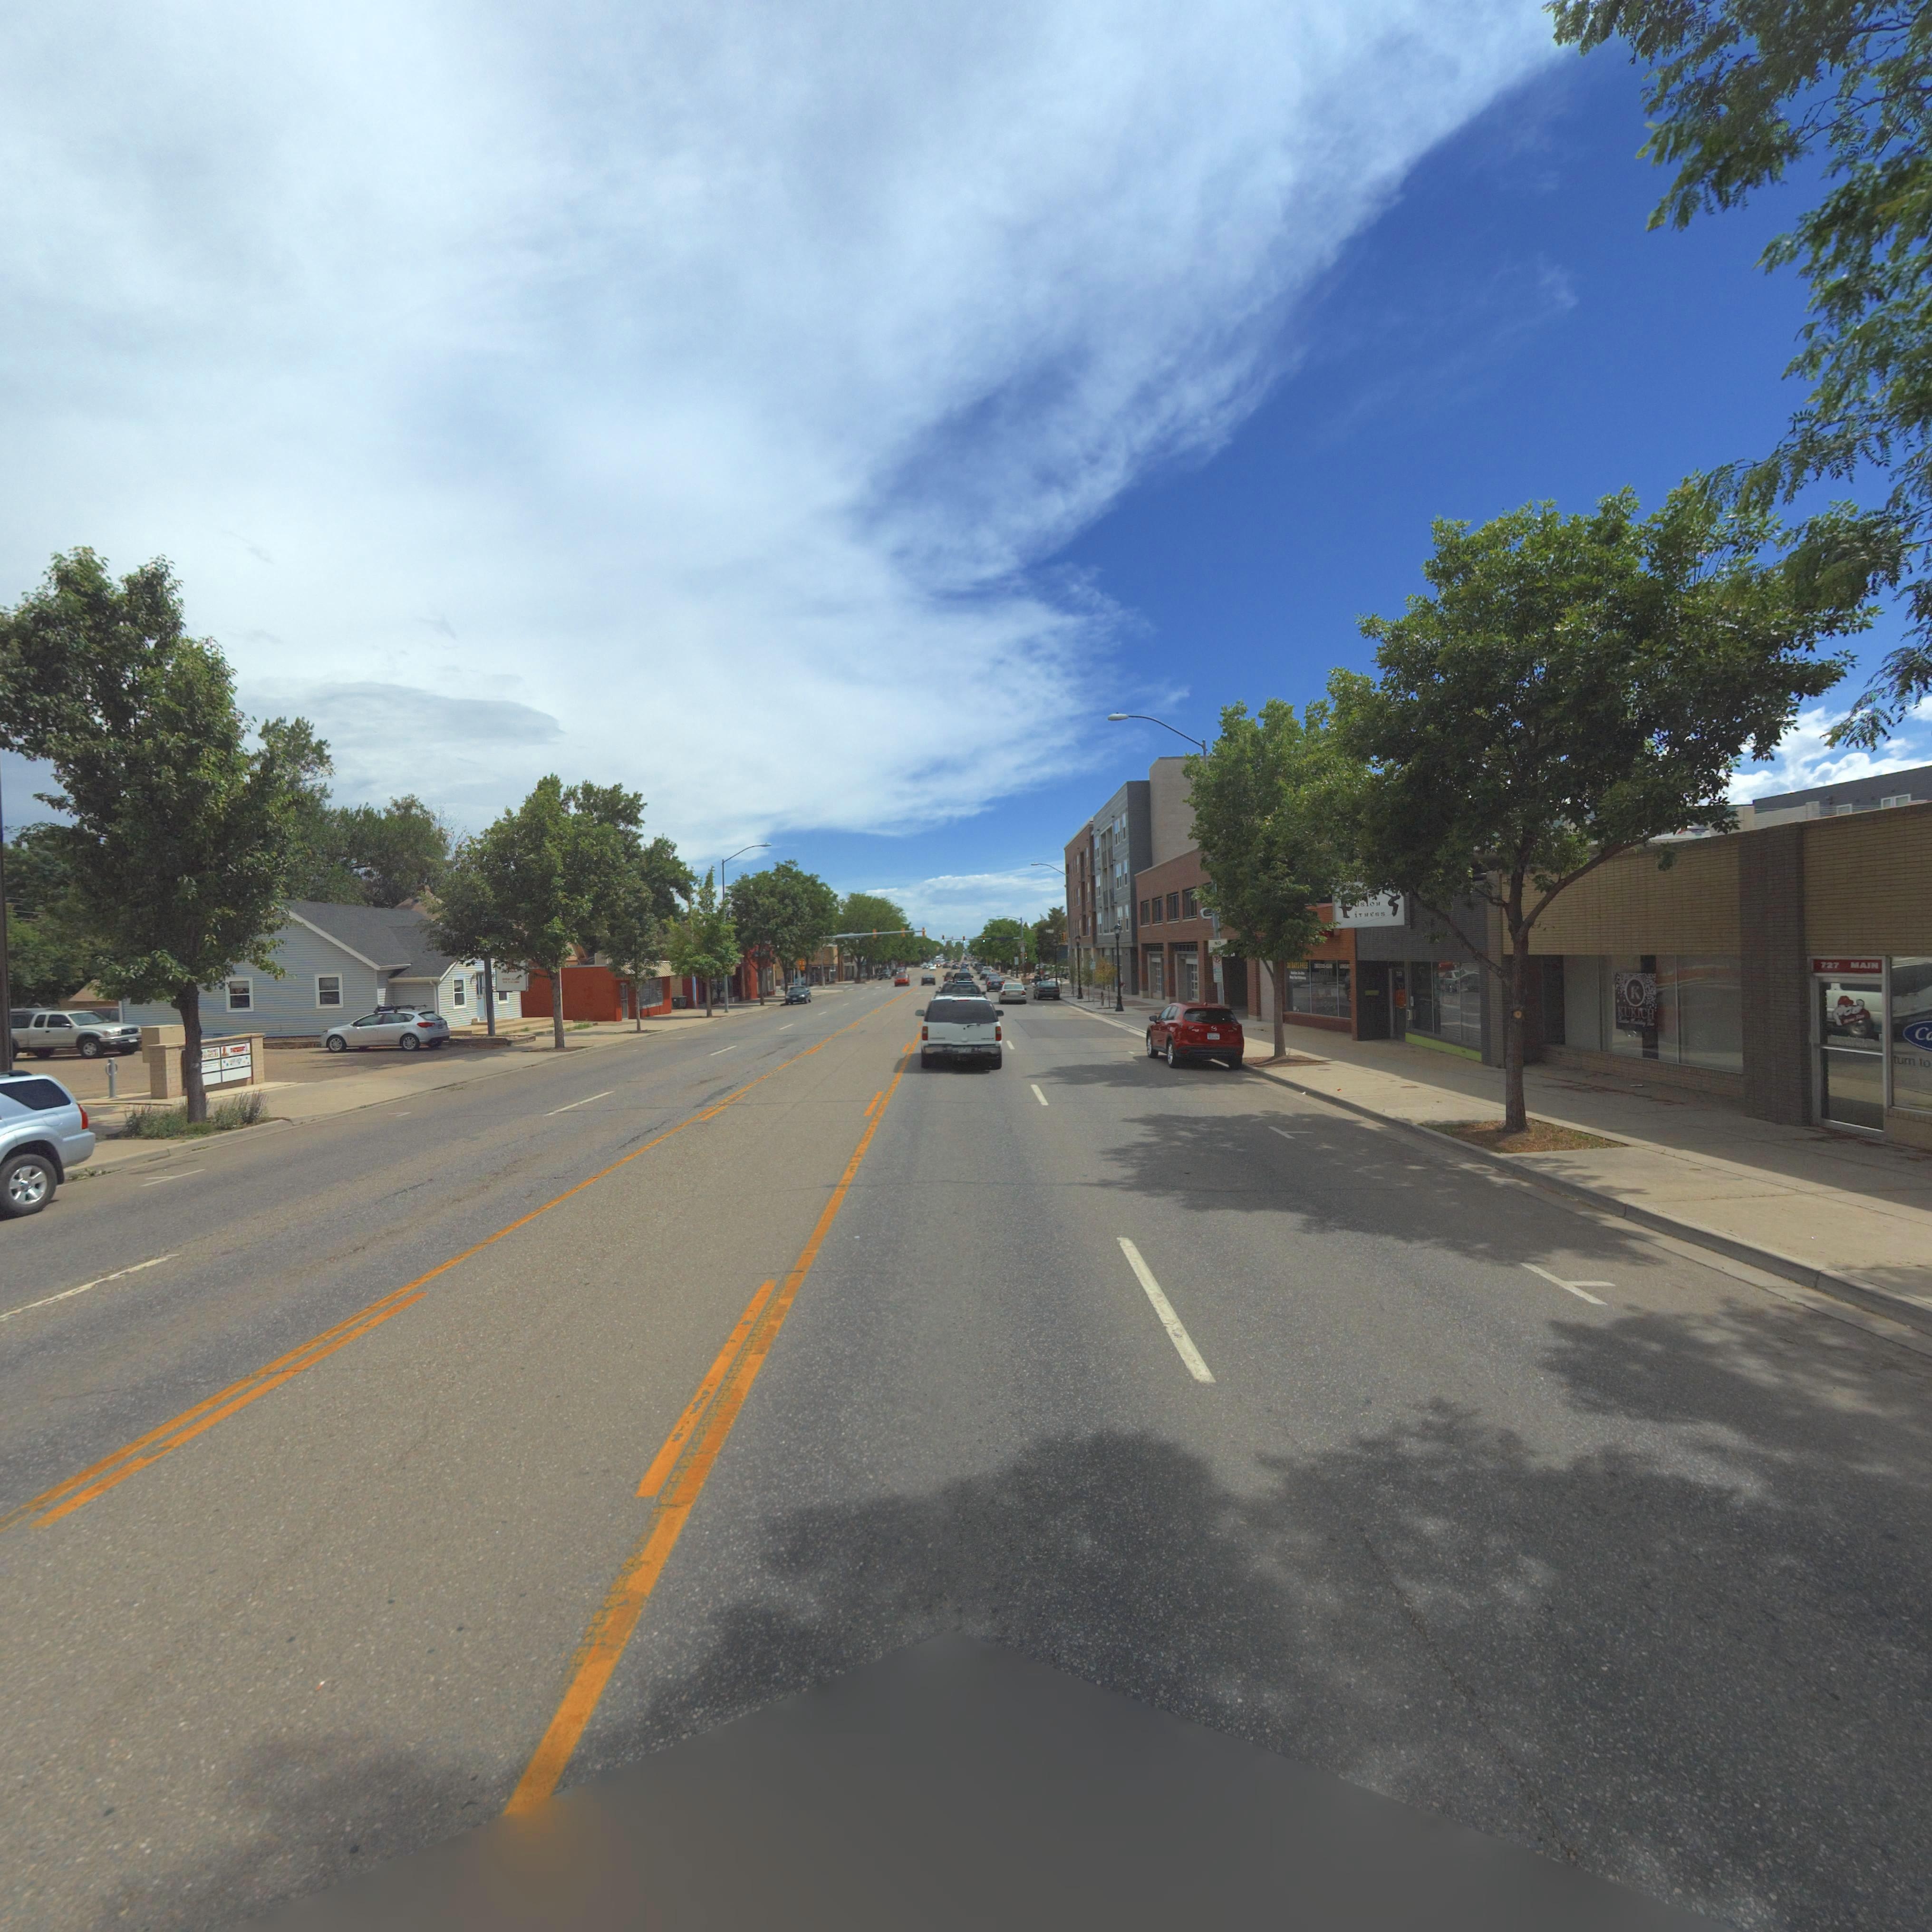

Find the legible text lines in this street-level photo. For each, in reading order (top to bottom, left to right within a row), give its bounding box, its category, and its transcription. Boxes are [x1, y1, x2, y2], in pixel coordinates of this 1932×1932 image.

[1356, 900, 1381, 907] BusinessName: ision
[1354, 910, 1385, 918] BusinessName: itness
[1819, 961, 1839, 968] StreetNumber: 727
[1850, 961, 1879, 969] StreetName: MAIN
[1396, 971, 1402, 976] StreetNumber: 723
[1617, 1006, 1654, 1019] BusinessName: KUKICH